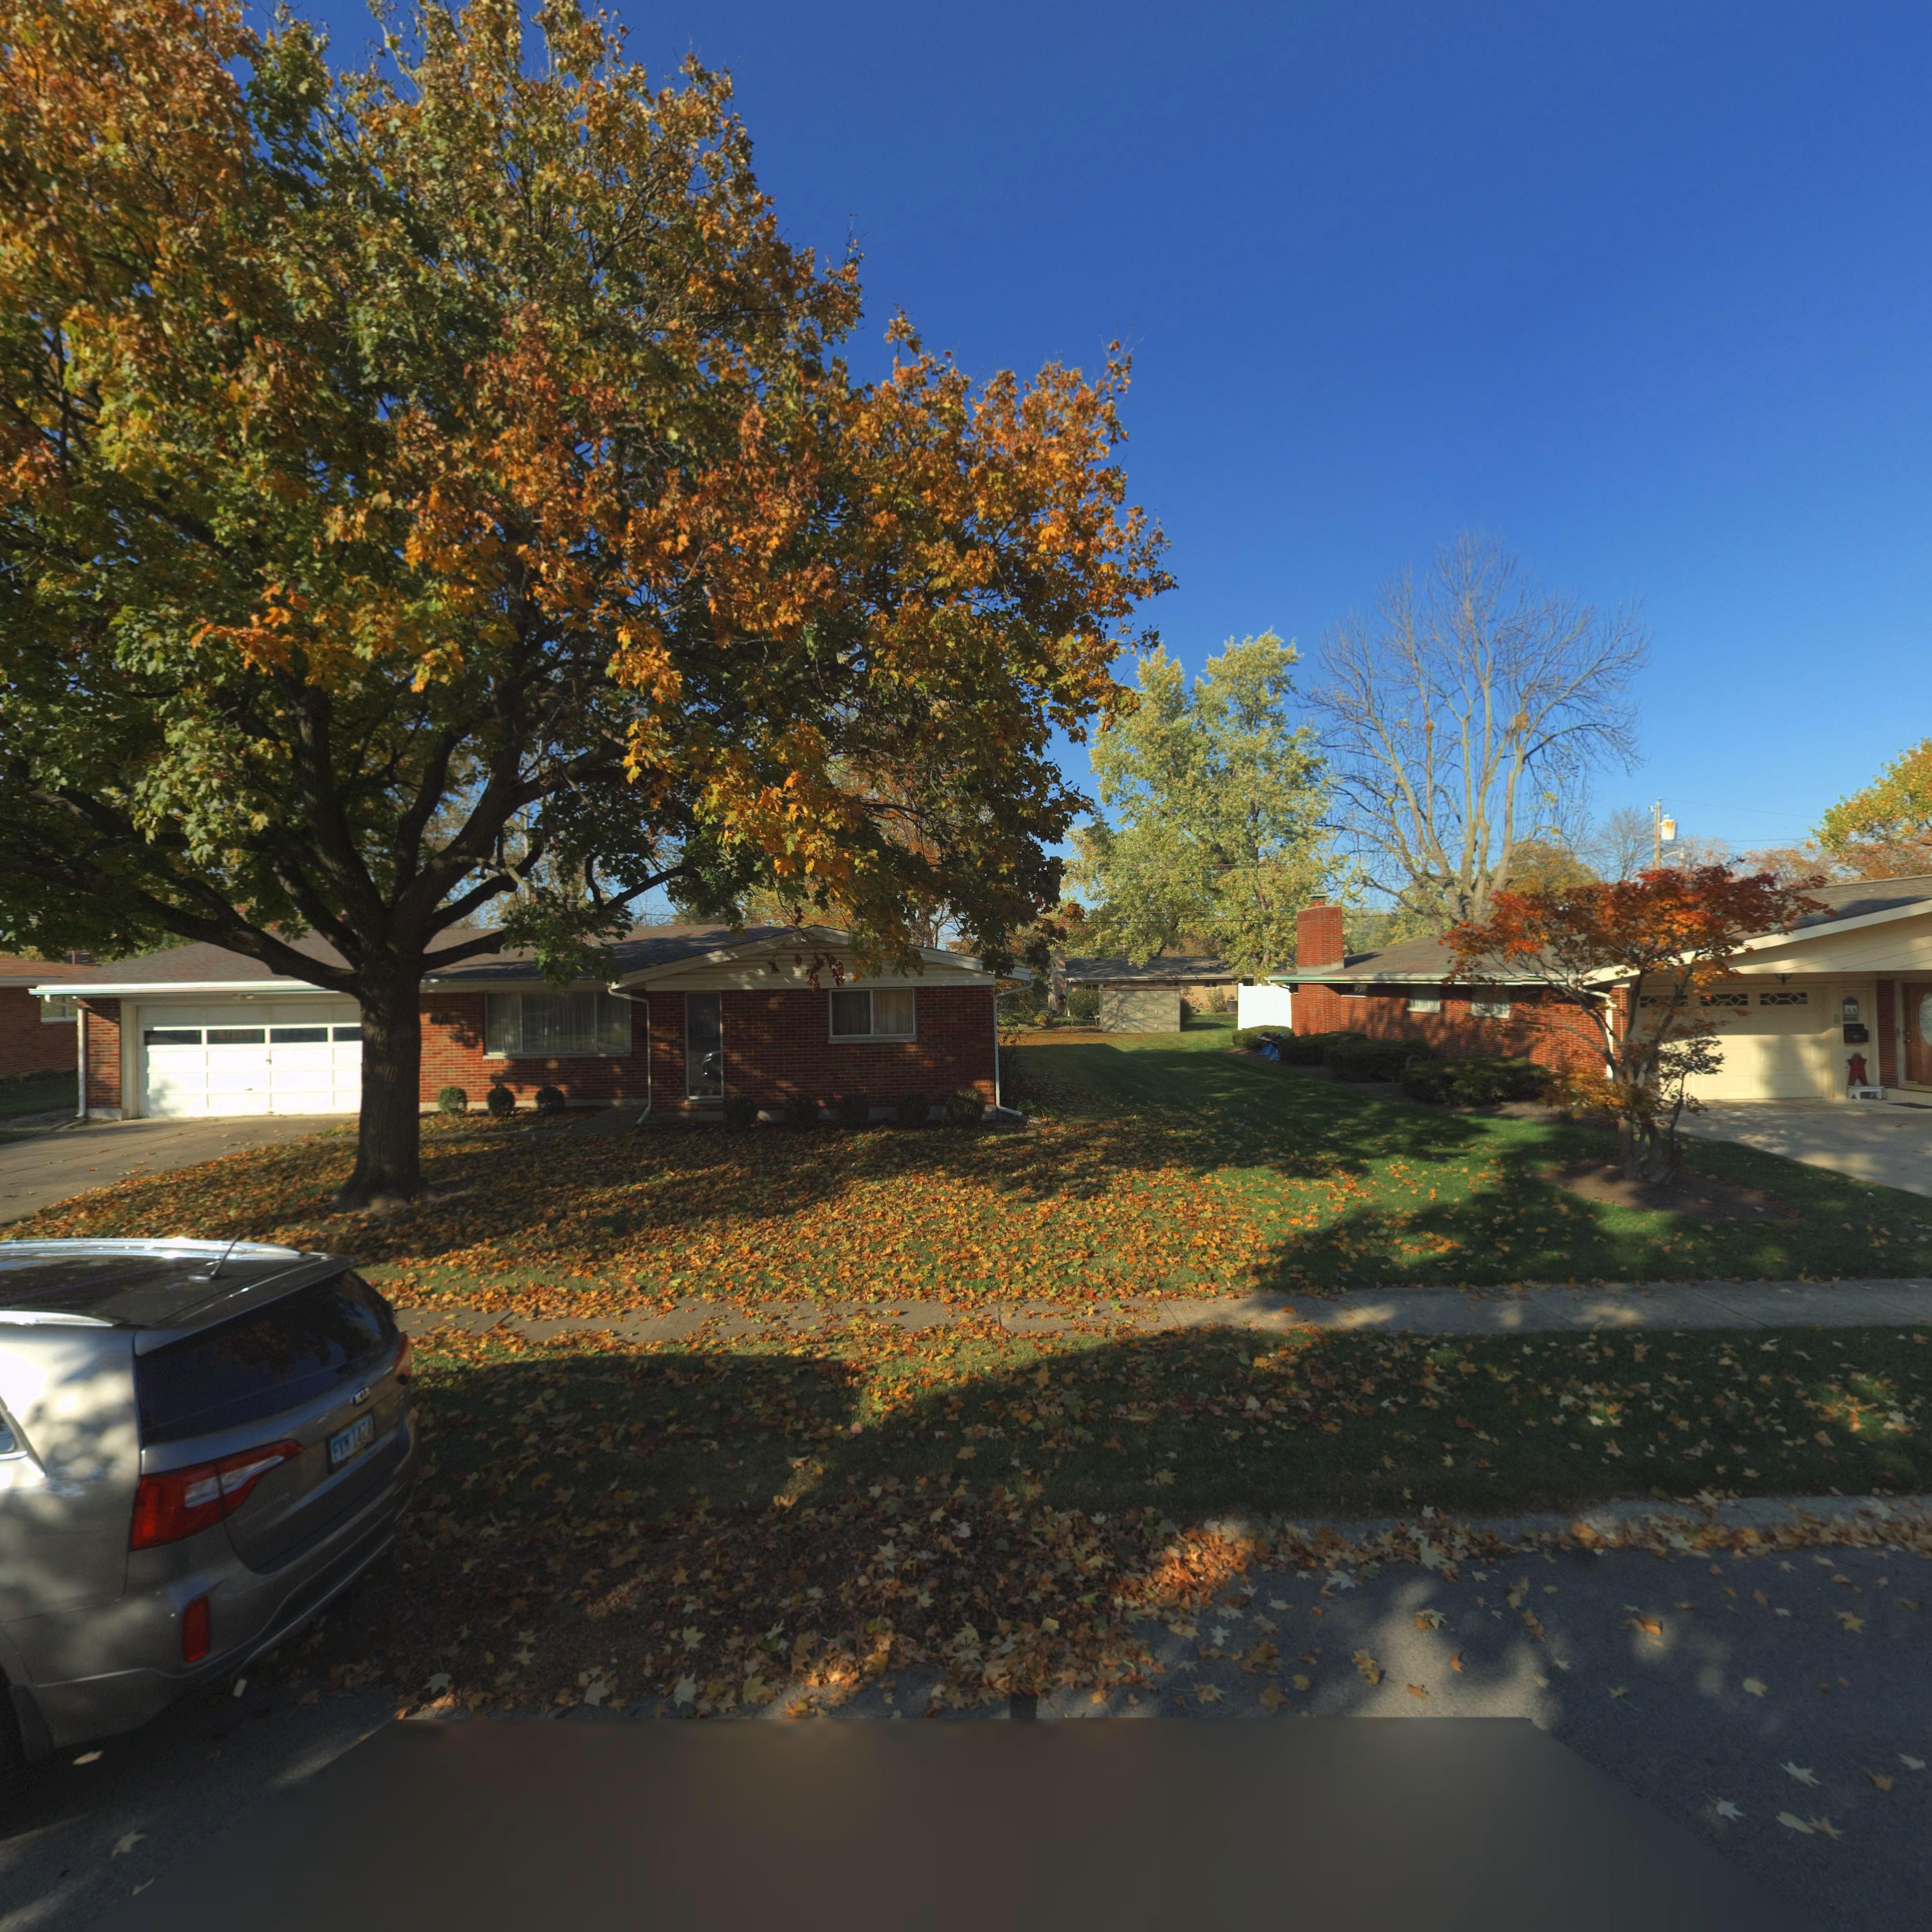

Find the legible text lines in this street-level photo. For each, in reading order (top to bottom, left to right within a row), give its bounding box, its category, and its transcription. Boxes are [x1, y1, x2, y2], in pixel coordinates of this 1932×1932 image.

[1719, 975, 1732, 982] StreetNumber: 651